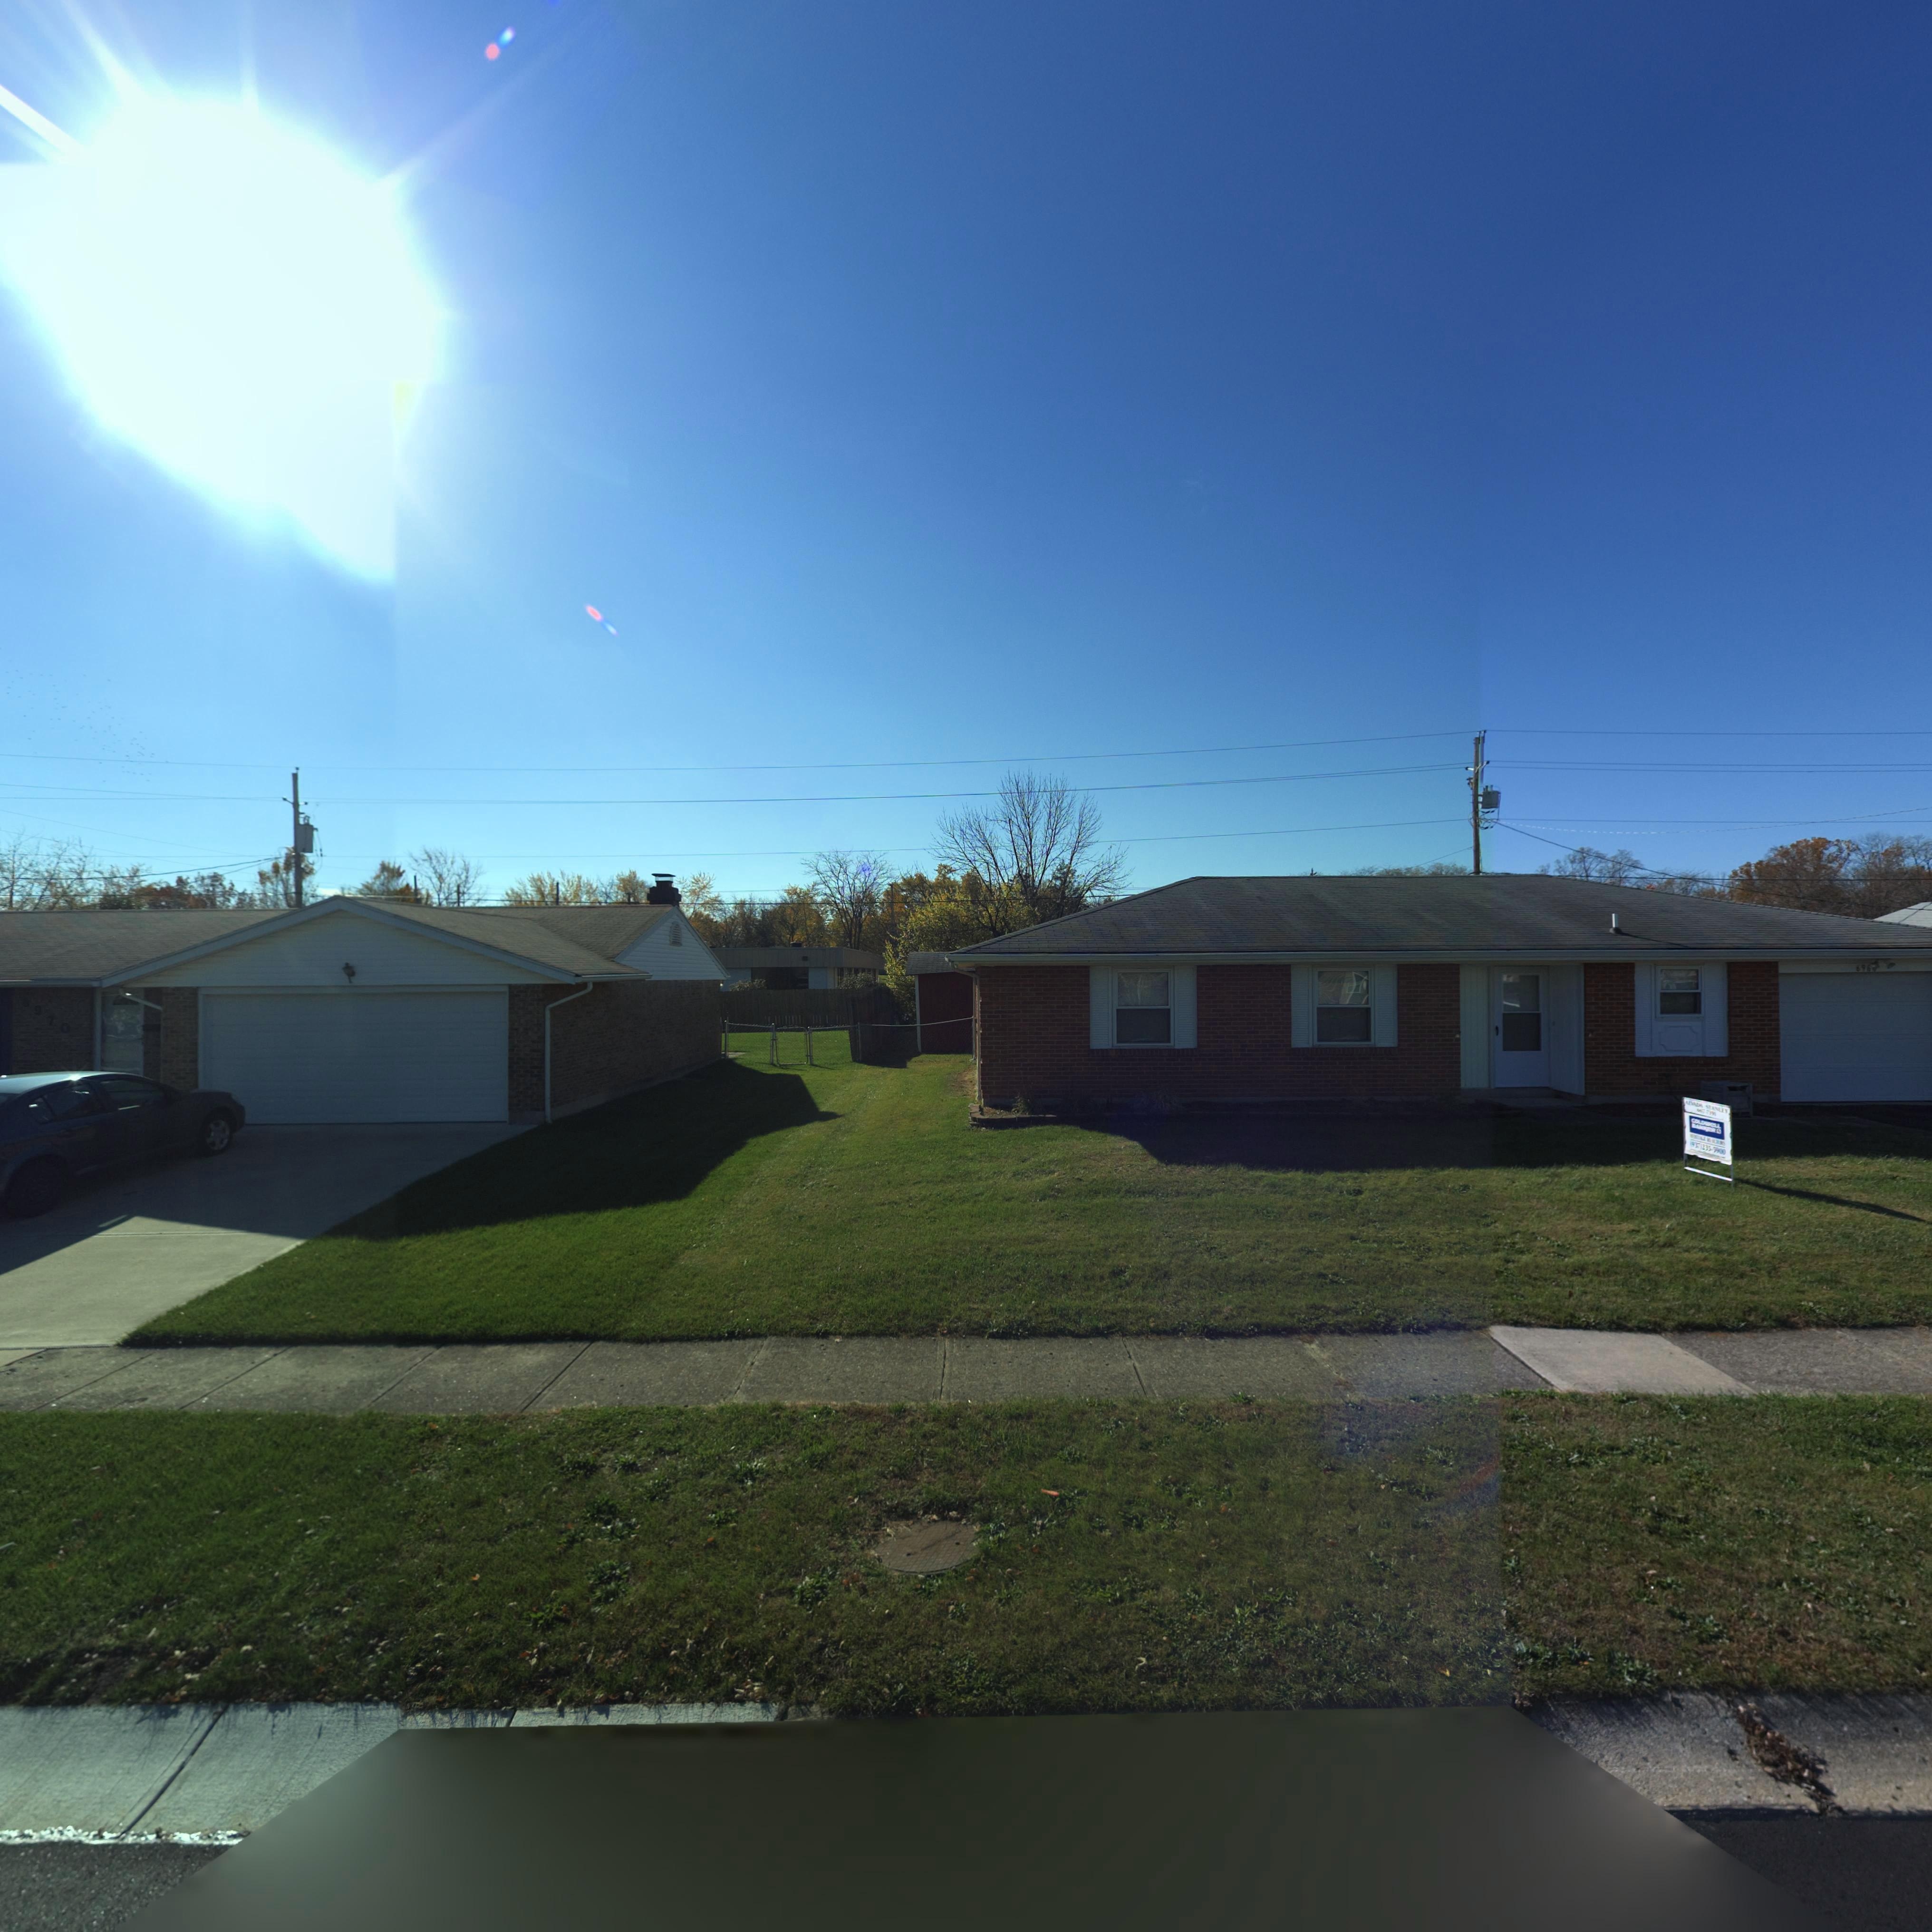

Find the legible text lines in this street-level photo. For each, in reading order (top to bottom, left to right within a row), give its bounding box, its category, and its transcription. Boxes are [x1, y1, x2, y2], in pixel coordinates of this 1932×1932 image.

[1855, 964, 1872, 972] StreetNumber: 696
[21, 996, 70, 1034] StreetNumber: 6970